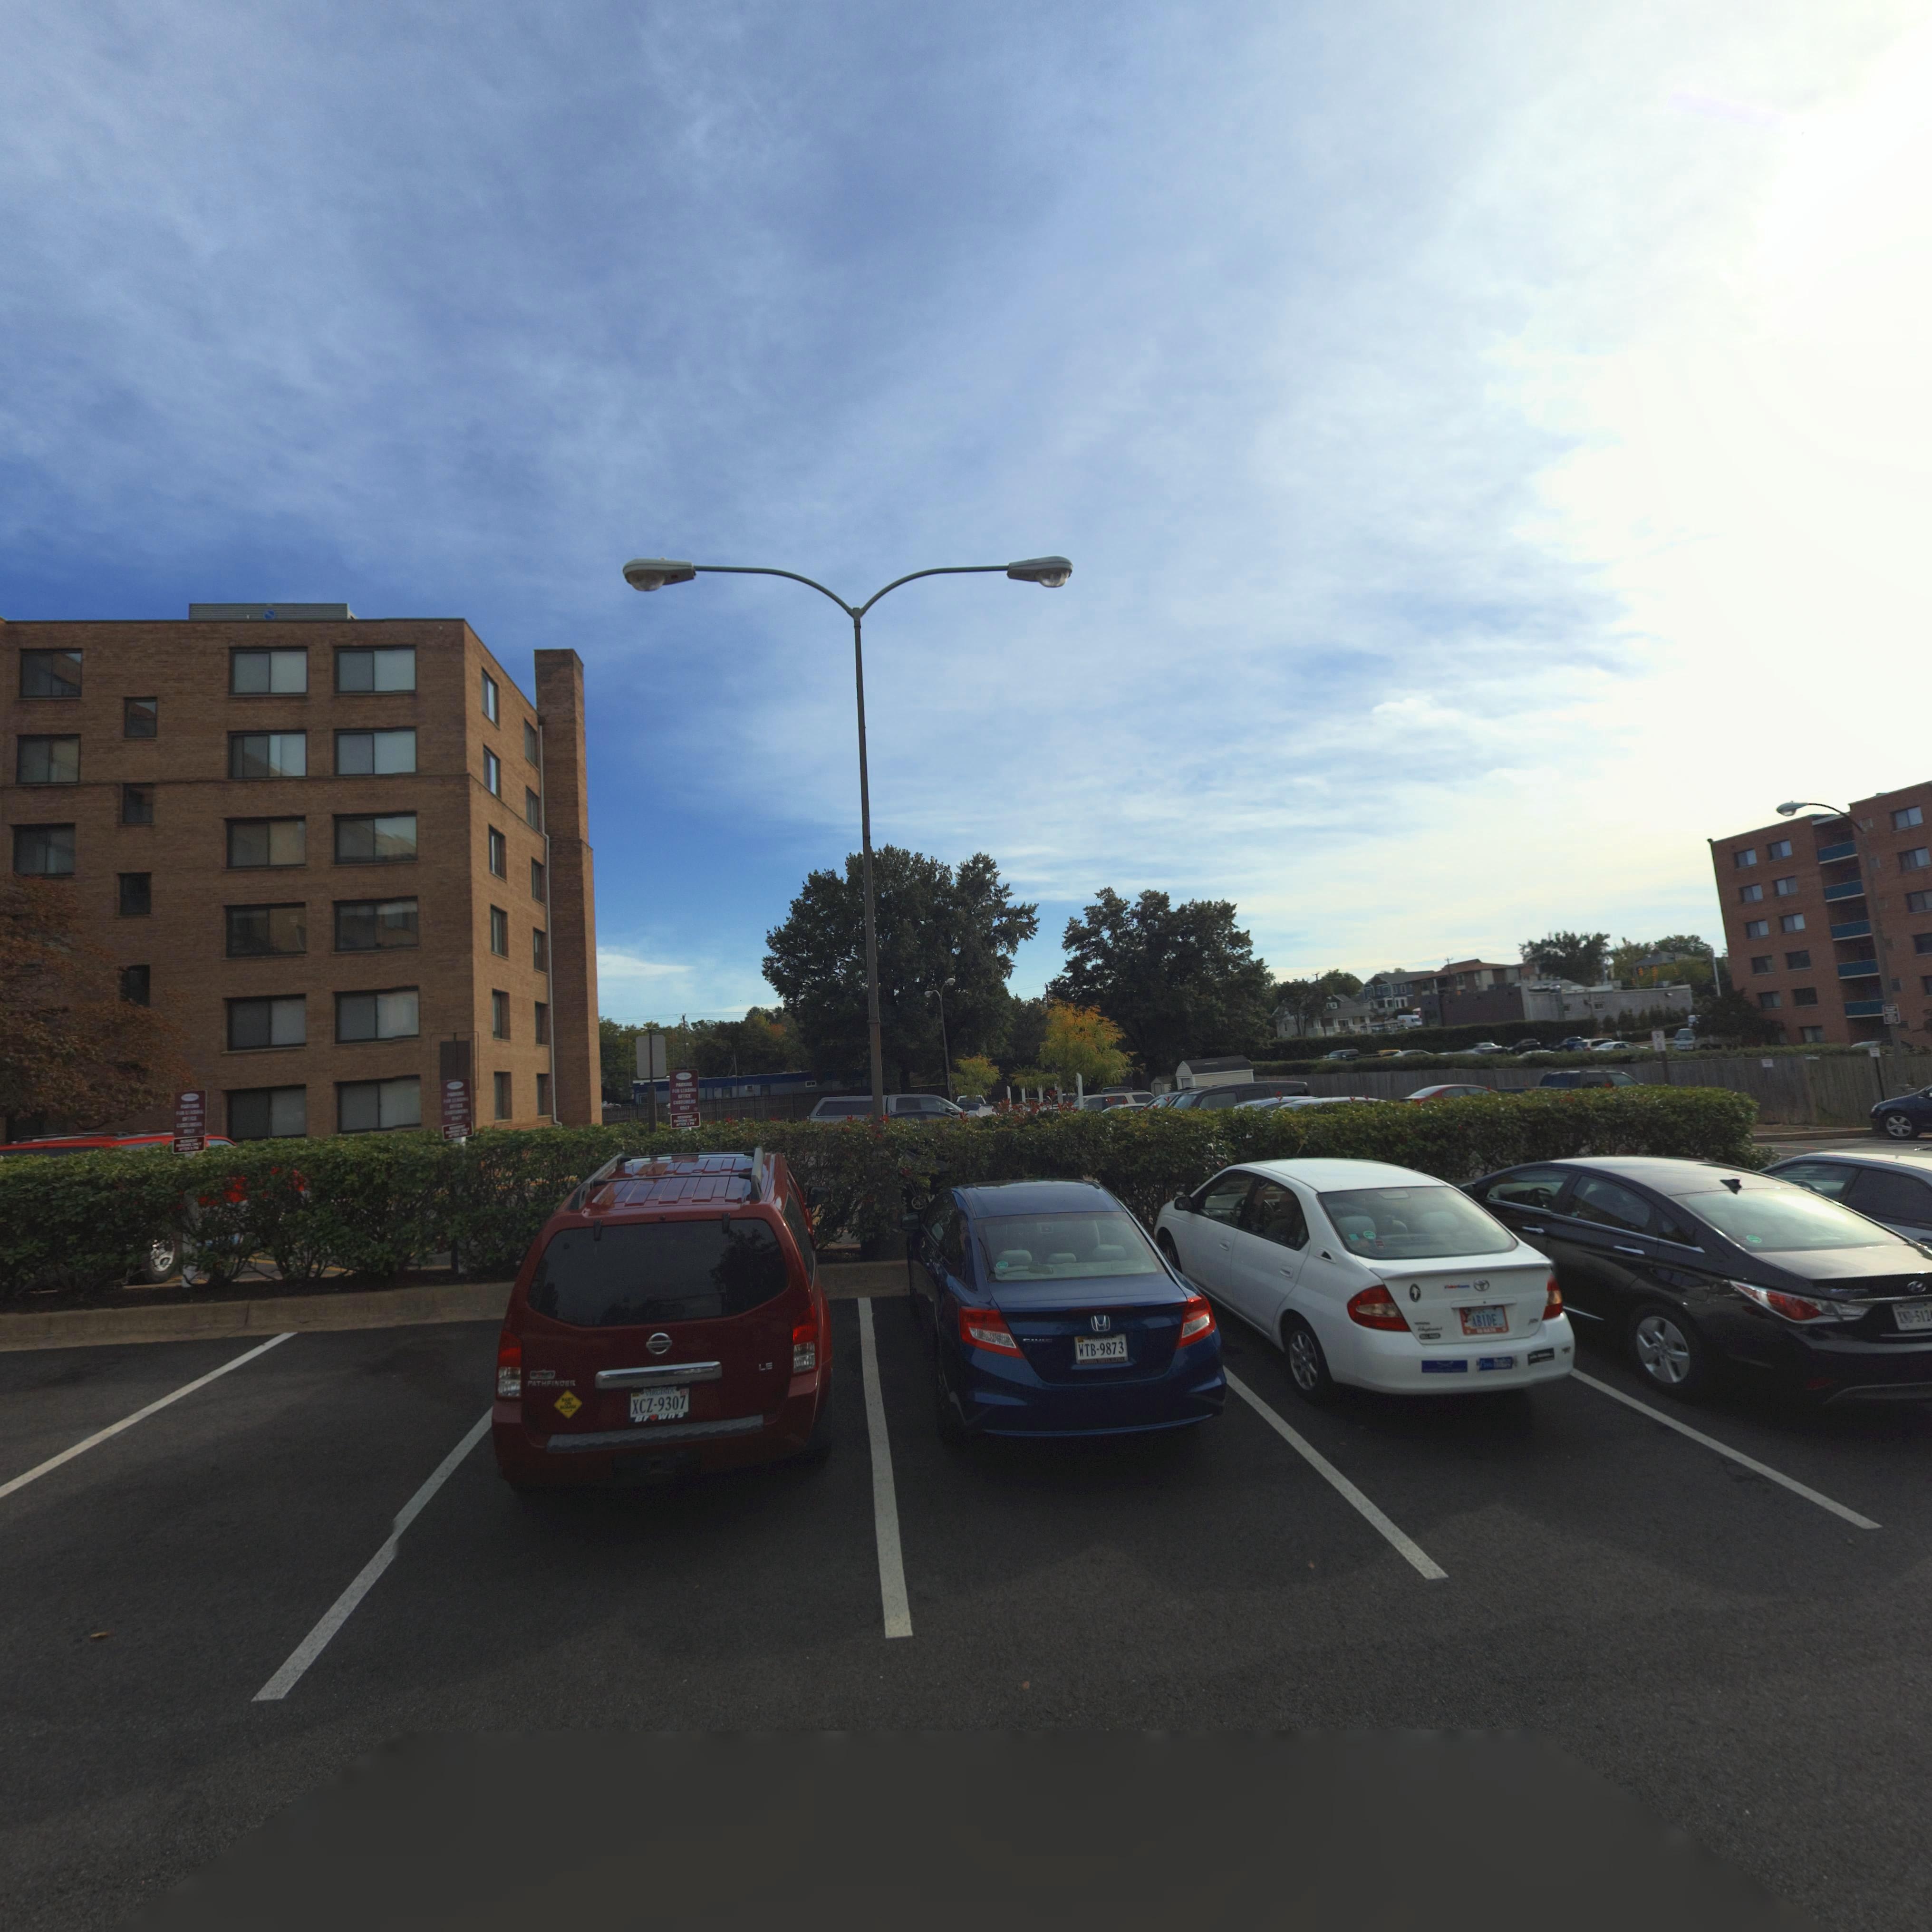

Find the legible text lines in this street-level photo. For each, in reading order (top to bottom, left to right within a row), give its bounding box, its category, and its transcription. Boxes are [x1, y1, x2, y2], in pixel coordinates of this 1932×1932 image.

[1471, 1313, 1498, 1329] None: ABIDE
[1918, 1308, 1932, 1323] None: 12
[1077, 1340, 1125, 1358] None: WTB-9873
[757, 1361, 773, 1373] None: LE
[526, 1379, 577, 1388] None: PATHFINDER
[644, 1388, 676, 1397] None: VIRGINIA
[630, 1394, 687, 1415] None: XCZ-9307
[633, 1410, 685, 1423] None: Br*wn's